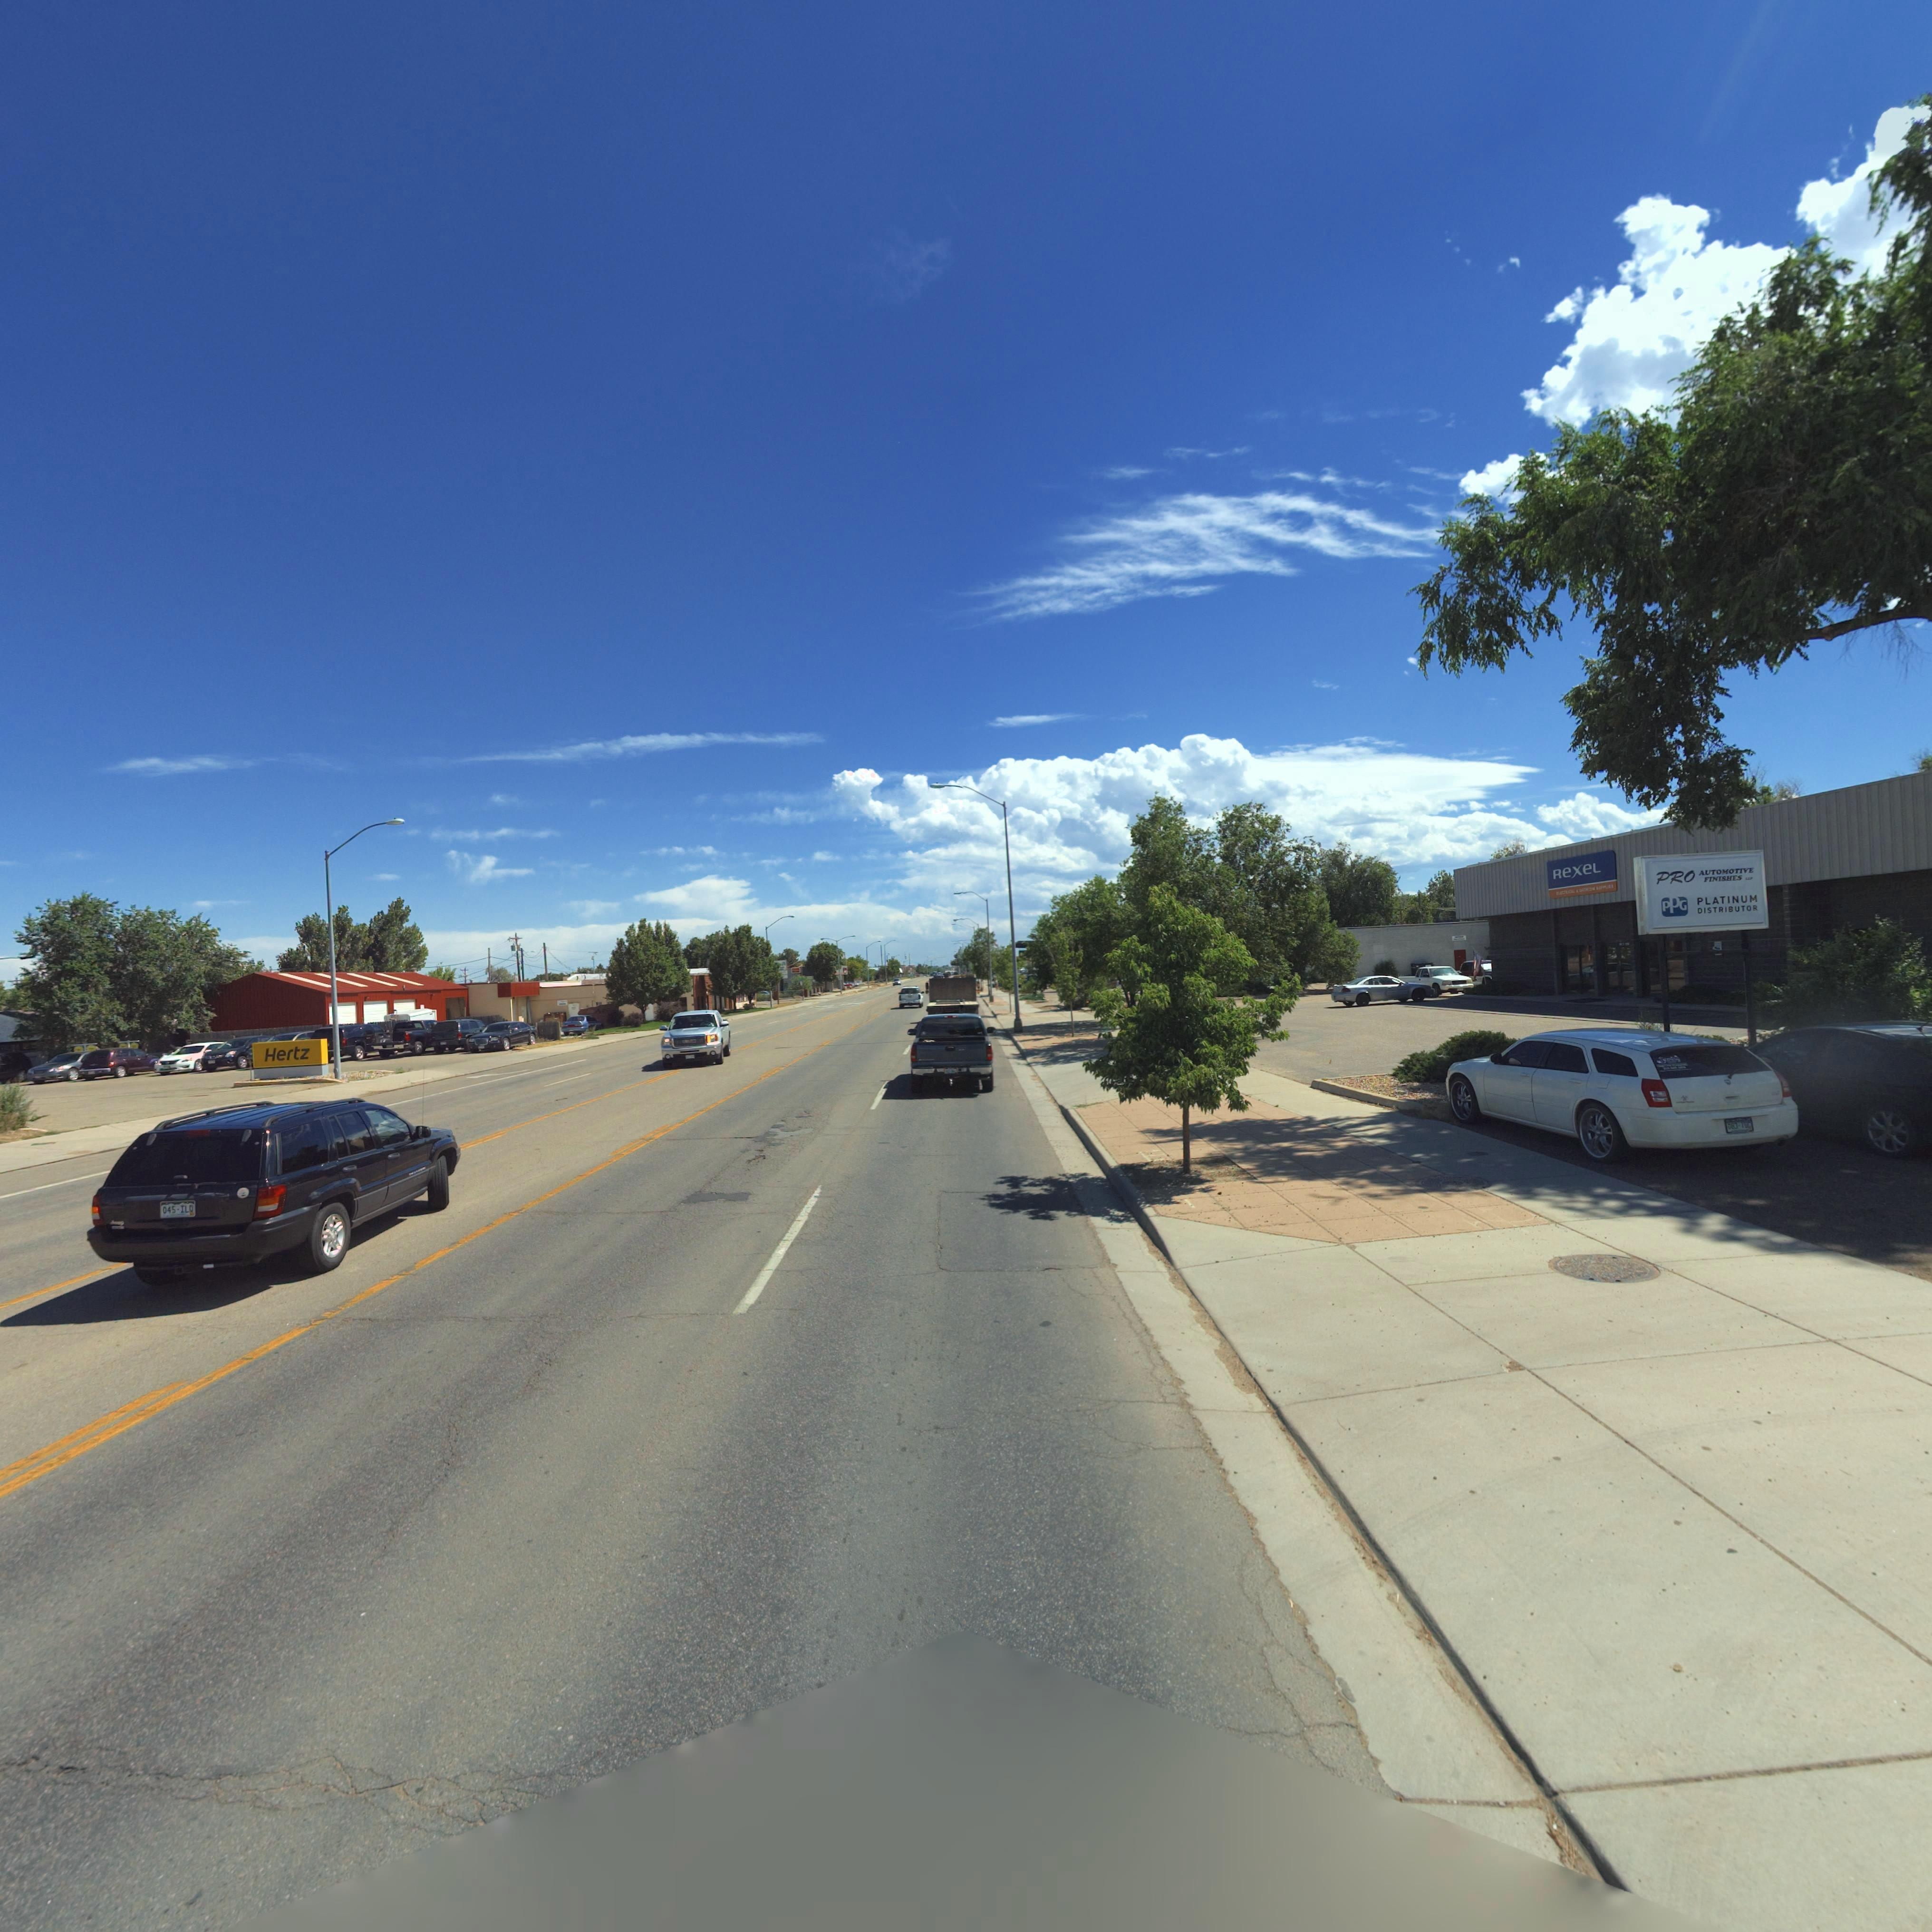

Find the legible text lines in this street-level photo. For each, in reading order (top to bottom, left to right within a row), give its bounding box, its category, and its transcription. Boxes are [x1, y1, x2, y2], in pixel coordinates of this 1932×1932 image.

[1552, 862, 1602, 880] BusinessName: ReXeL
[1655, 869, 1696, 885] BusinessName: PRO
[1703, 874, 1742, 882] BusinessName: FINISHES
[1698, 867, 1754, 876] BusinessName: AUTOMOTIVE
[1745, 876, 1753, 880] BusinessName: L**
[1555, 884, 1613, 895] BusinessName: *LEC*RICAL & *AT**OM S**PLIES
[264, 1046, 310, 1062] BusinessName: Hertz